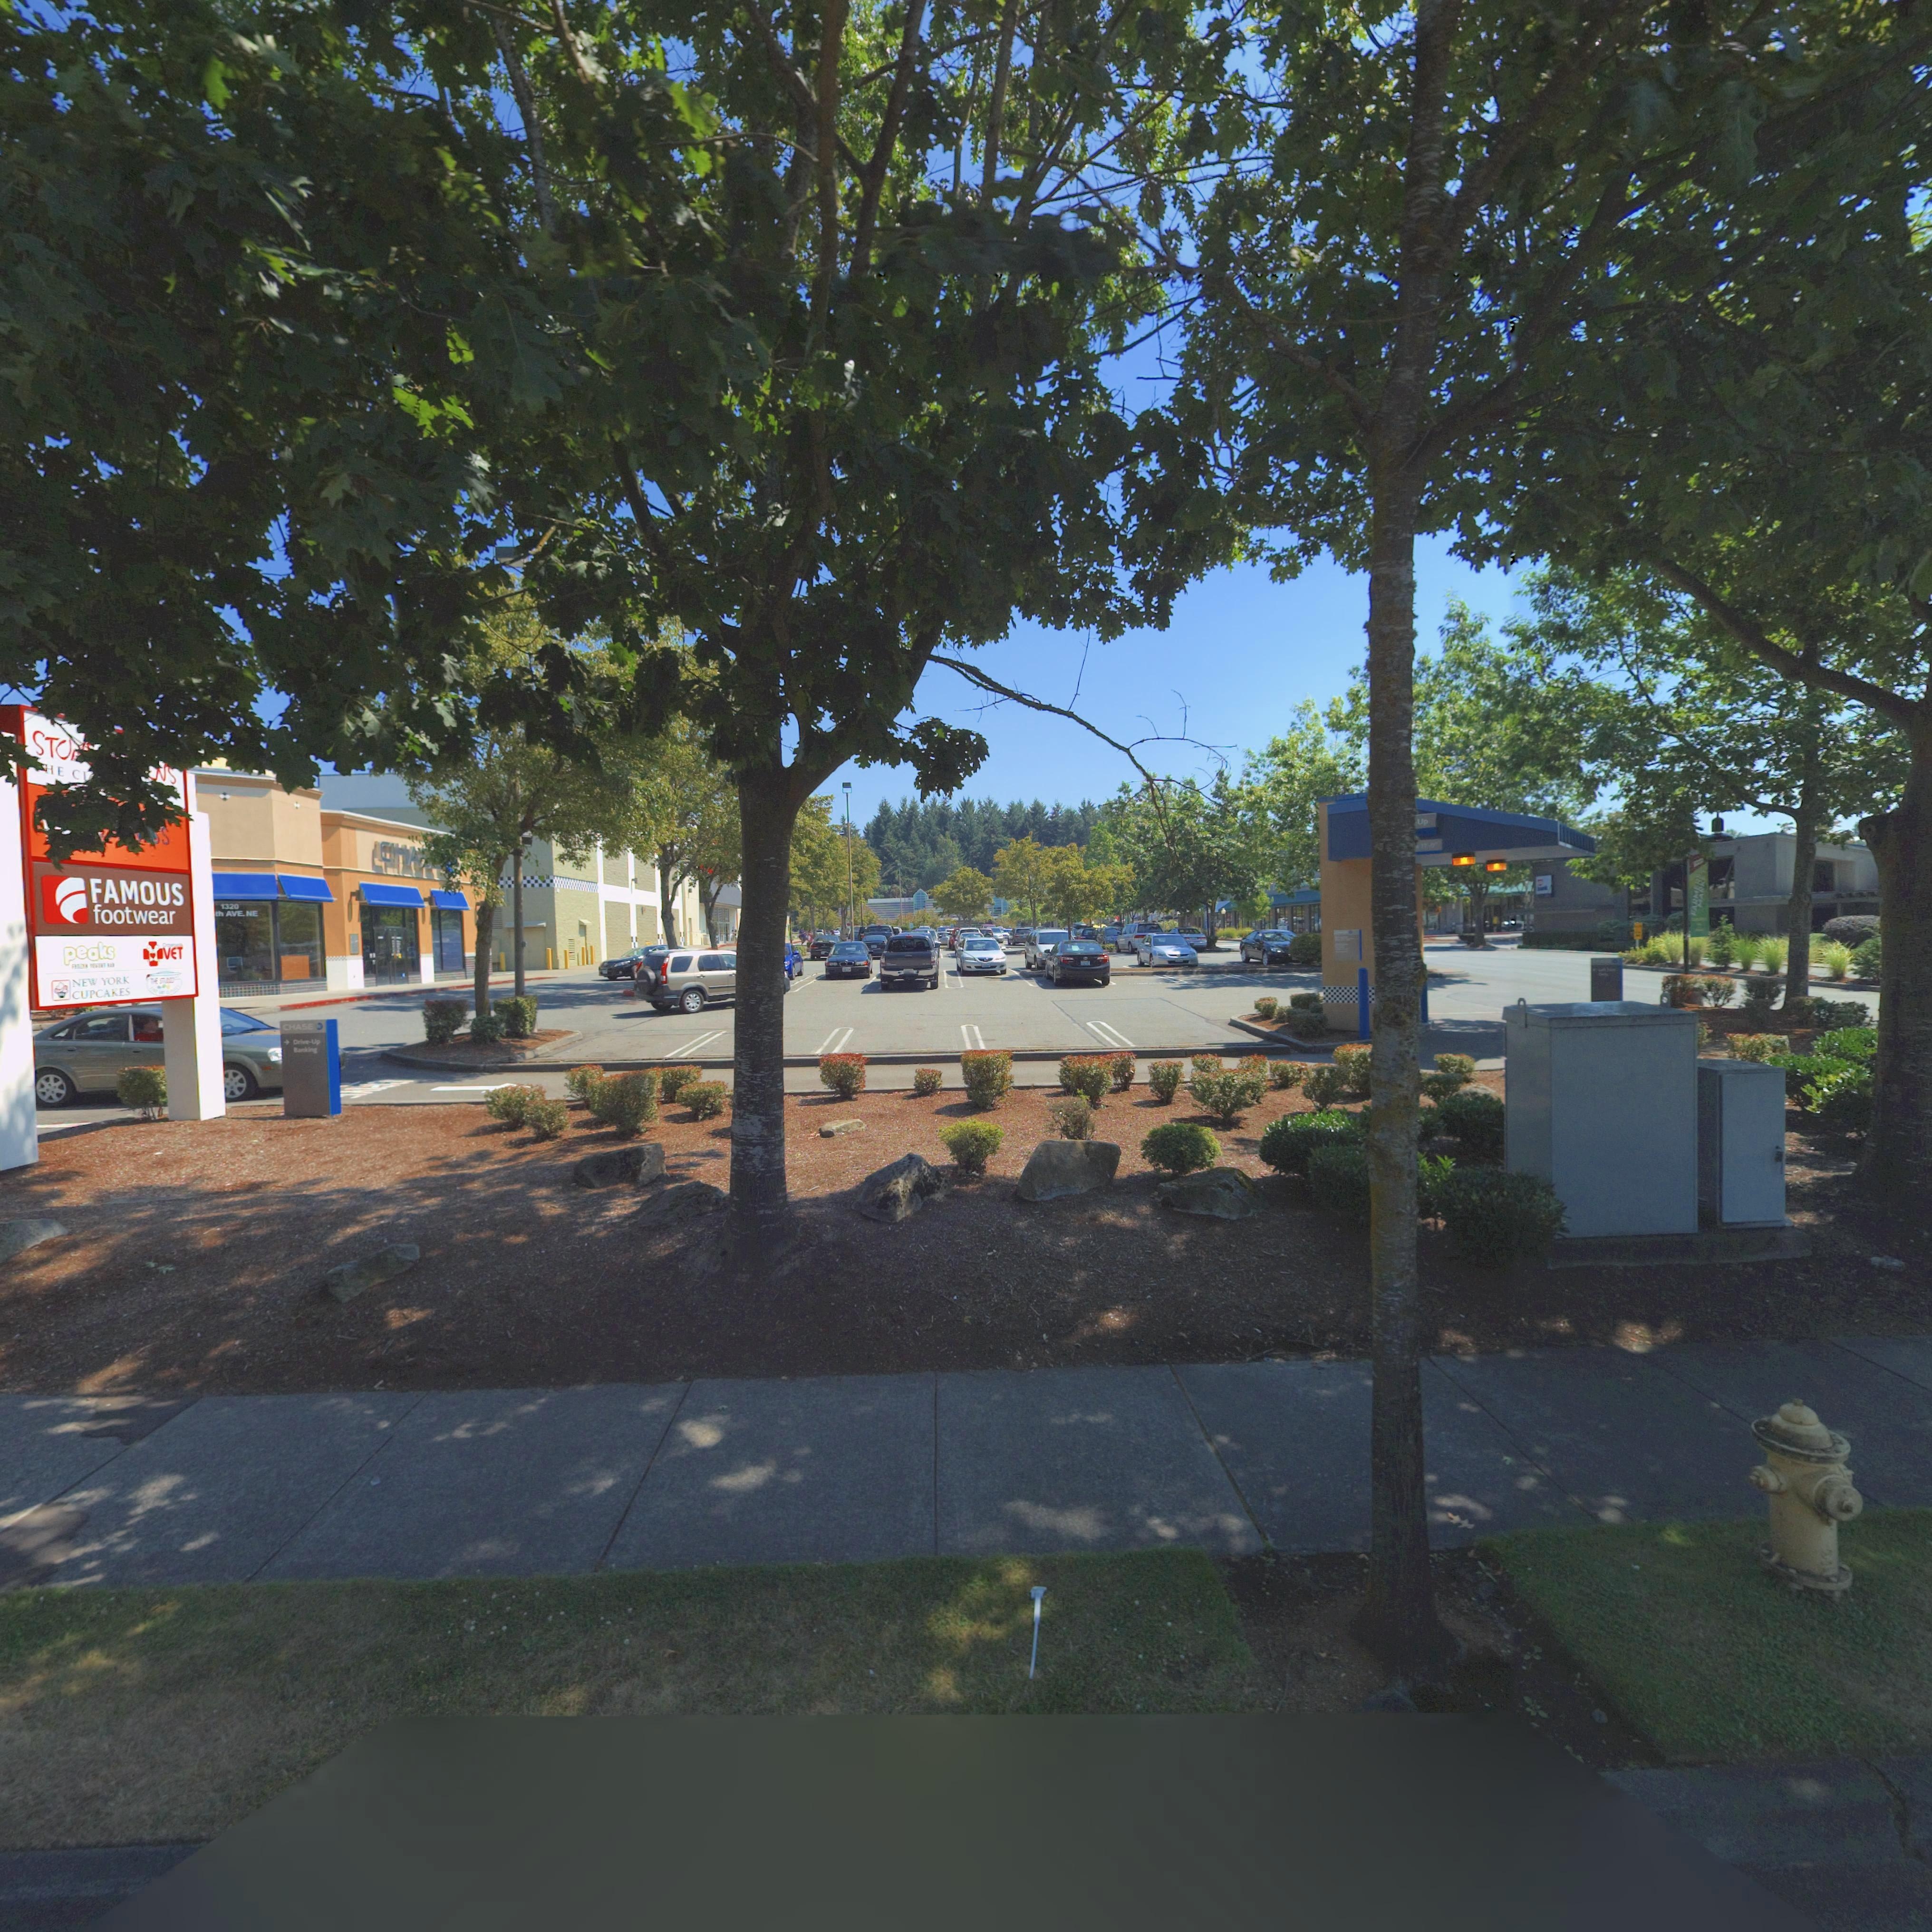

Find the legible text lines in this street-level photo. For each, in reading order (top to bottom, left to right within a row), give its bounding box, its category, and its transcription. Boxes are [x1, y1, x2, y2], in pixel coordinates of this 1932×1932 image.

[32, 727, 72, 762] BusinessName: STO
[89, 877, 184, 906] BusinessName: FAMOUS
[92, 903, 177, 926] BusinessName: footwear
[220, 903, 239, 909] StreetNumber: 1320
[218, 909, 259, 918] StreetName: h Ave NE
[63, 940, 116, 967] BusinessName: peaks
[162, 946, 184, 961] BusinessName: VET
[71, 974, 131, 988] BusinessName: NEW YORK
[72, 987, 129, 1000] BusinessName: CUPCAKES
[282, 1023, 314, 1031] BusinessName: CHASE